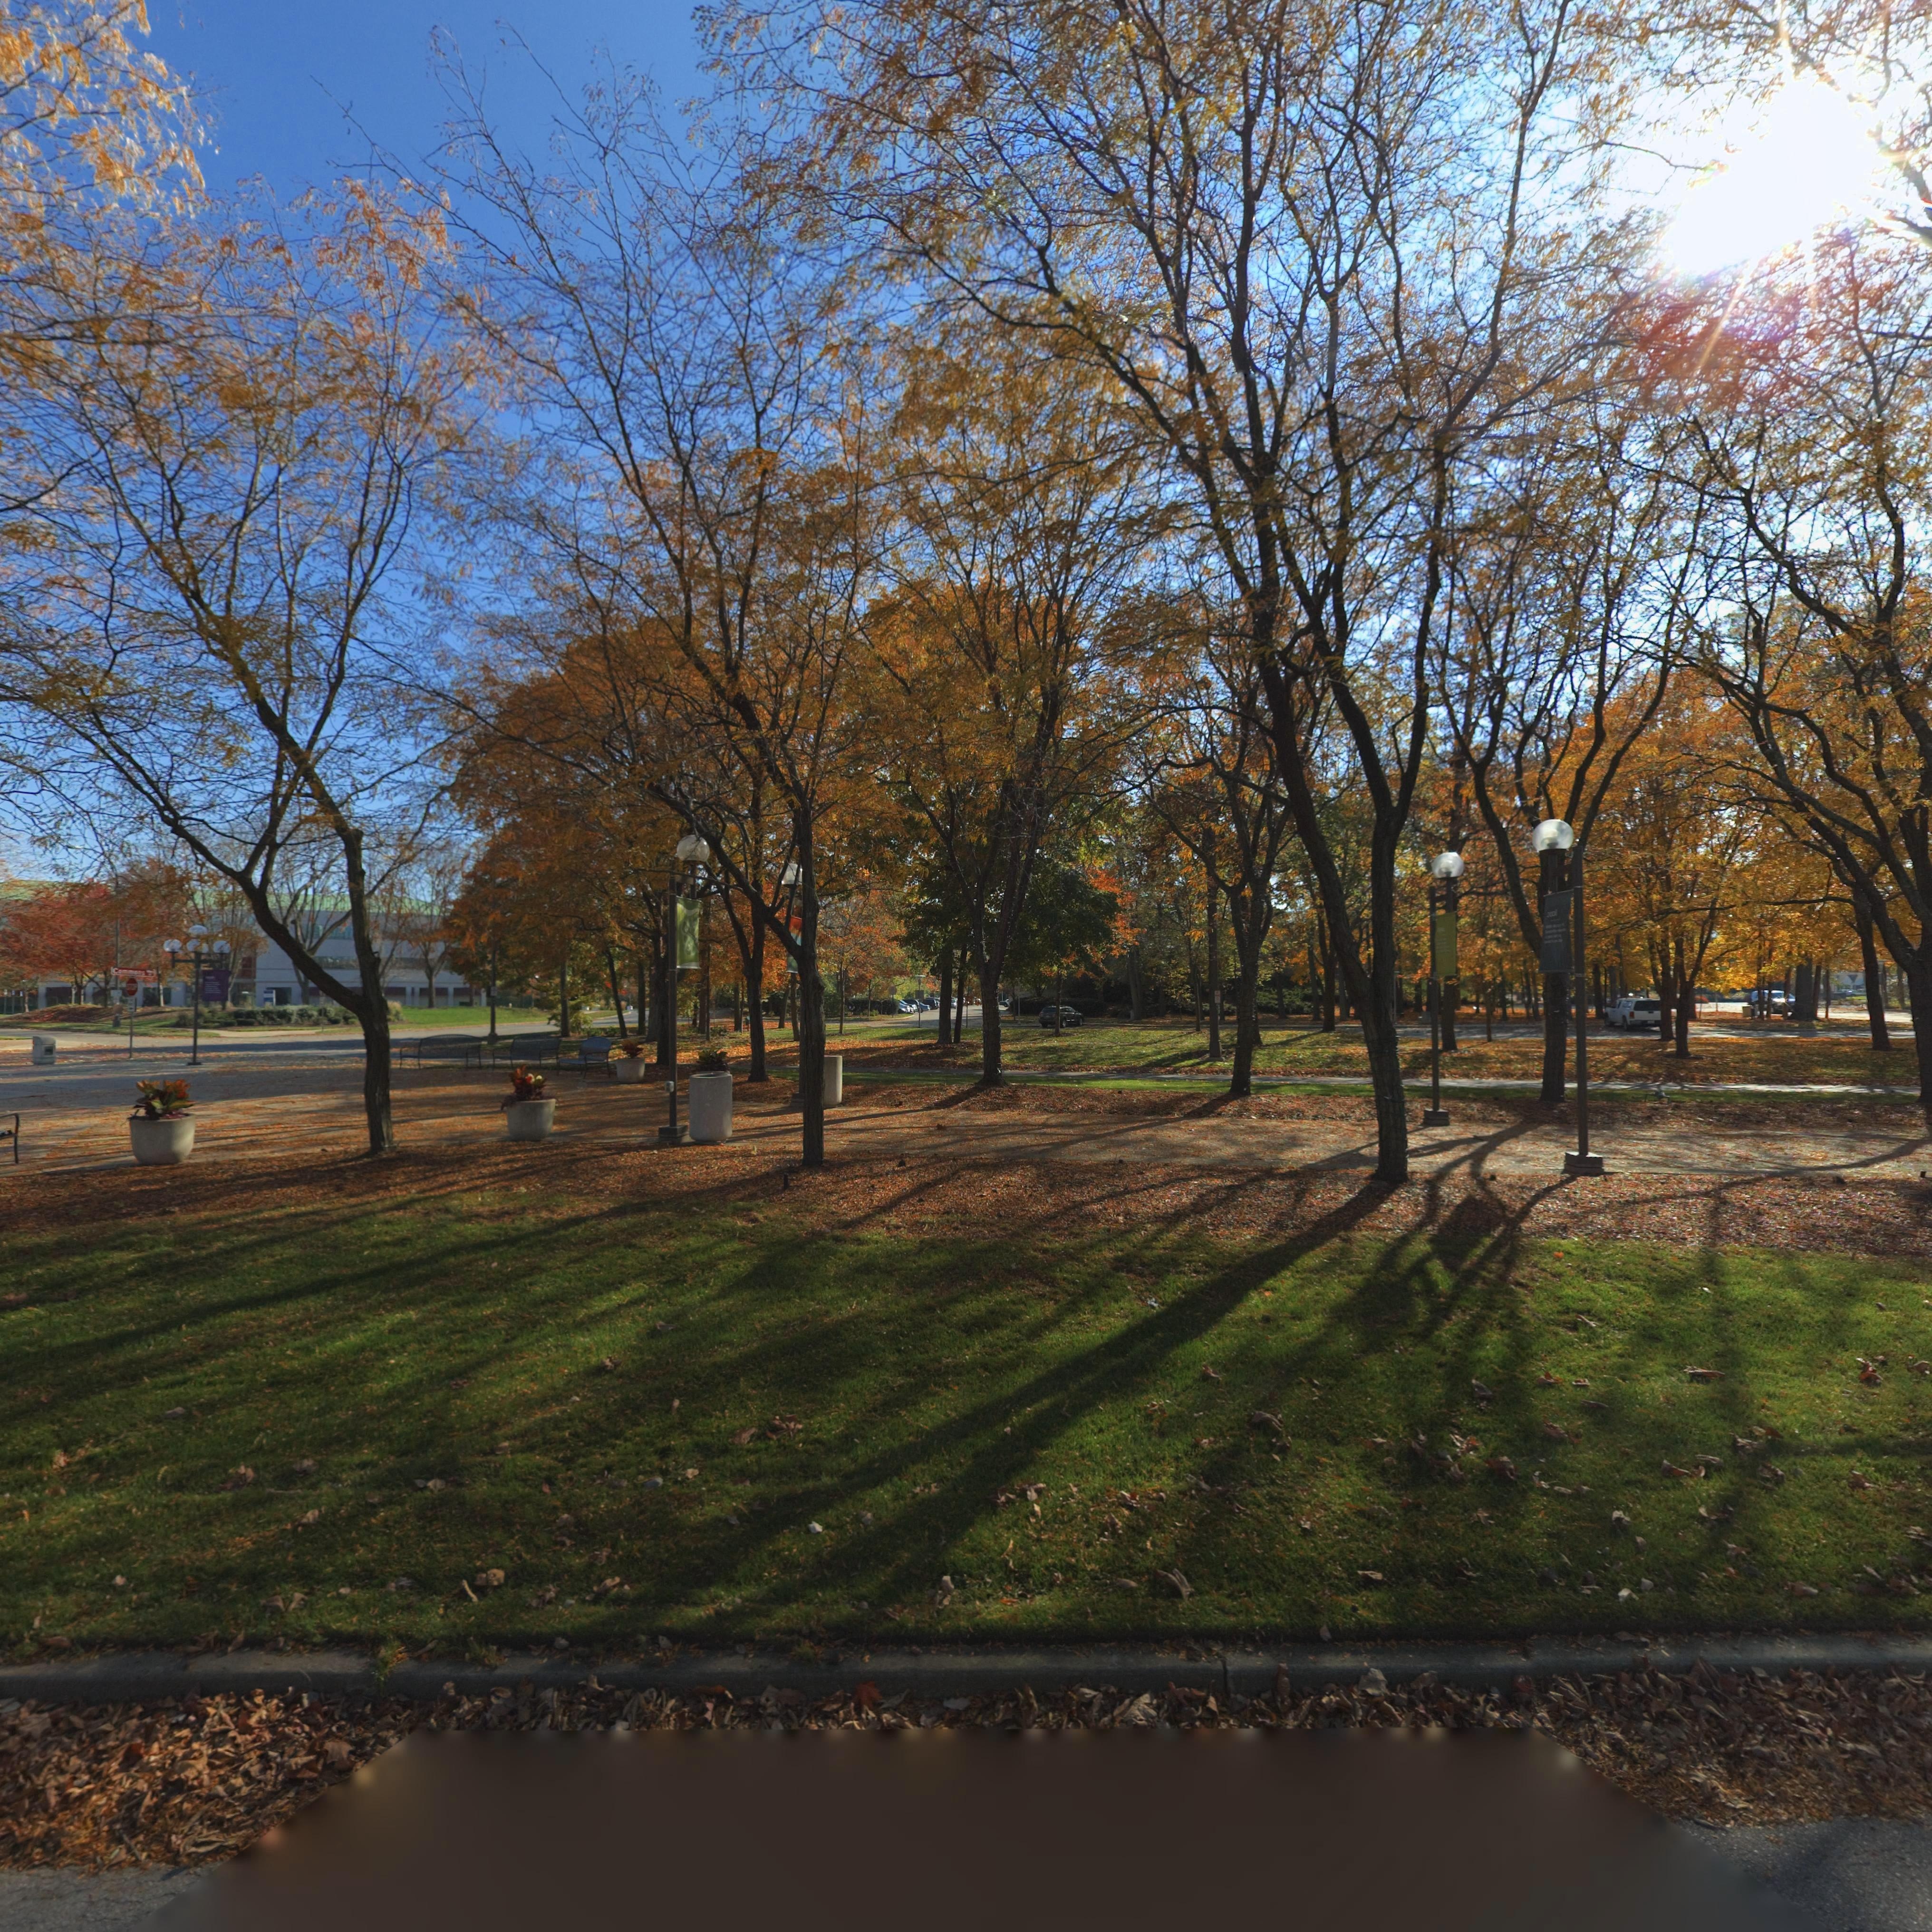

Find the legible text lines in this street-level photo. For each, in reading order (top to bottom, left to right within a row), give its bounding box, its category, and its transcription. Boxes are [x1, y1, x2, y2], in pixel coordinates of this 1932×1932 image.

[126, 983, 137, 990] None: STOP